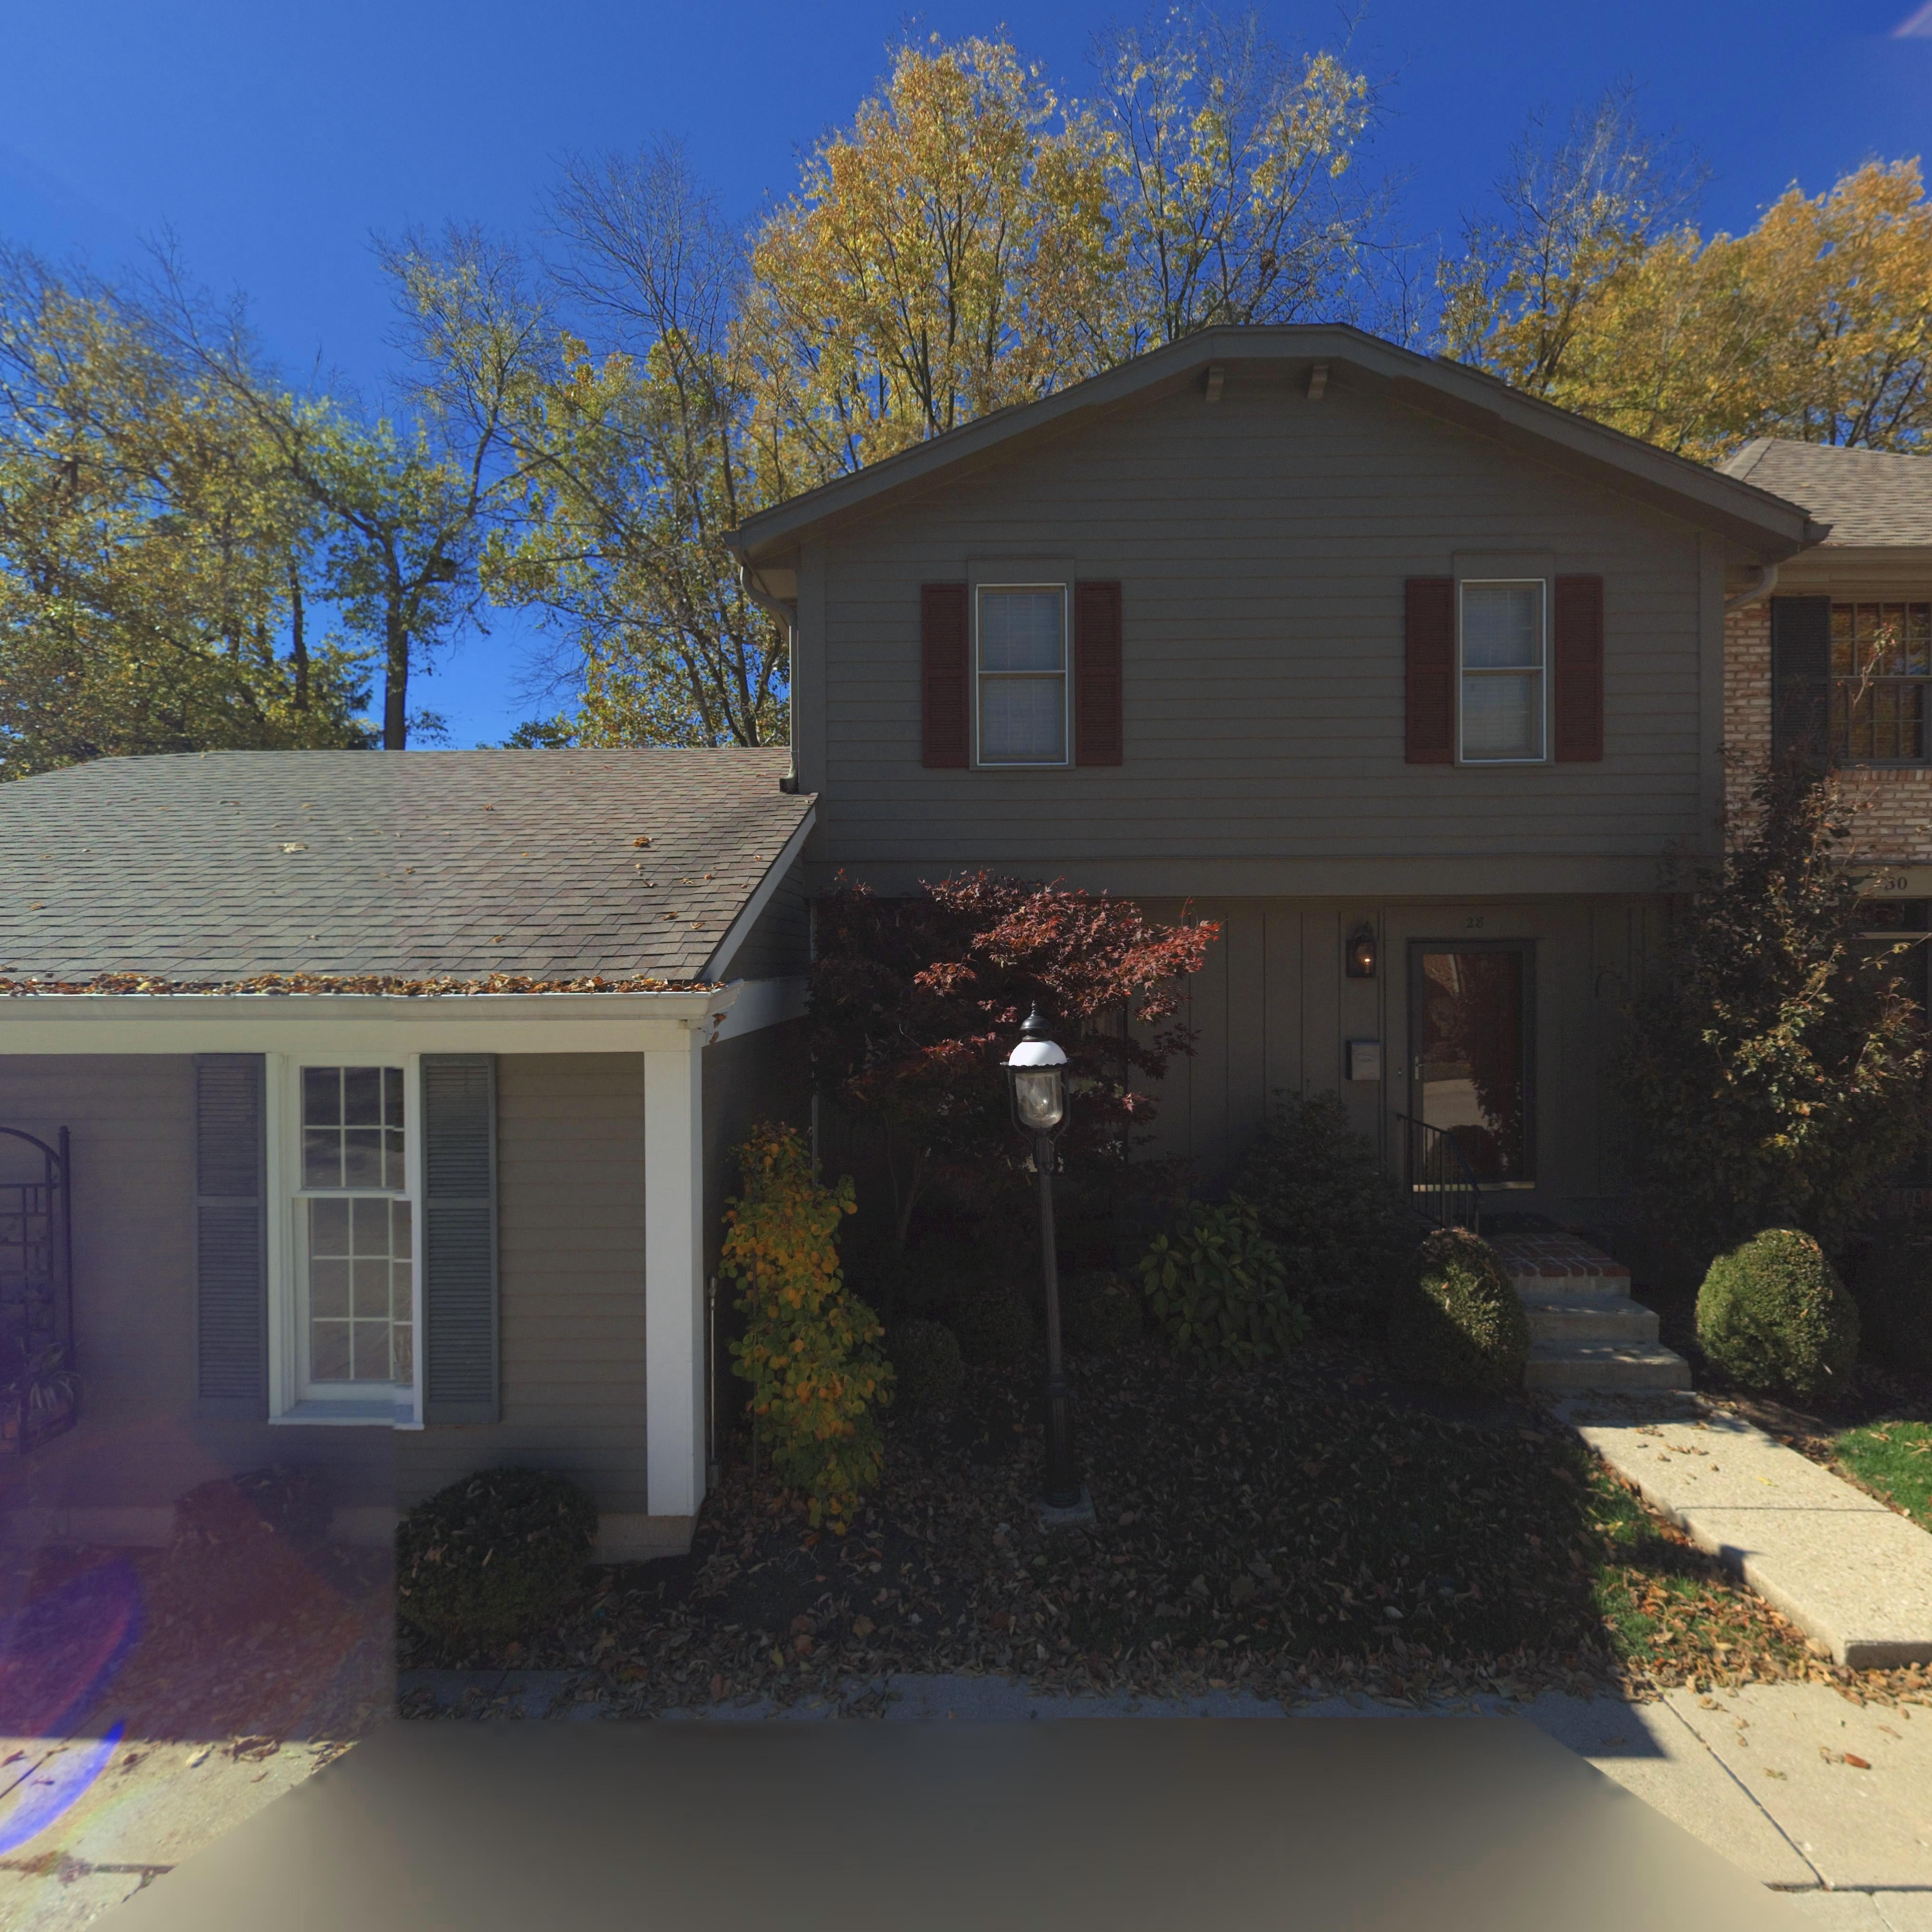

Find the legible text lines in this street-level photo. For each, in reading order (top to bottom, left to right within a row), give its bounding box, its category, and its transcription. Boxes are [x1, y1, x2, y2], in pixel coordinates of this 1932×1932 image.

[1466, 916, 1485, 929] StreetNumber: 28